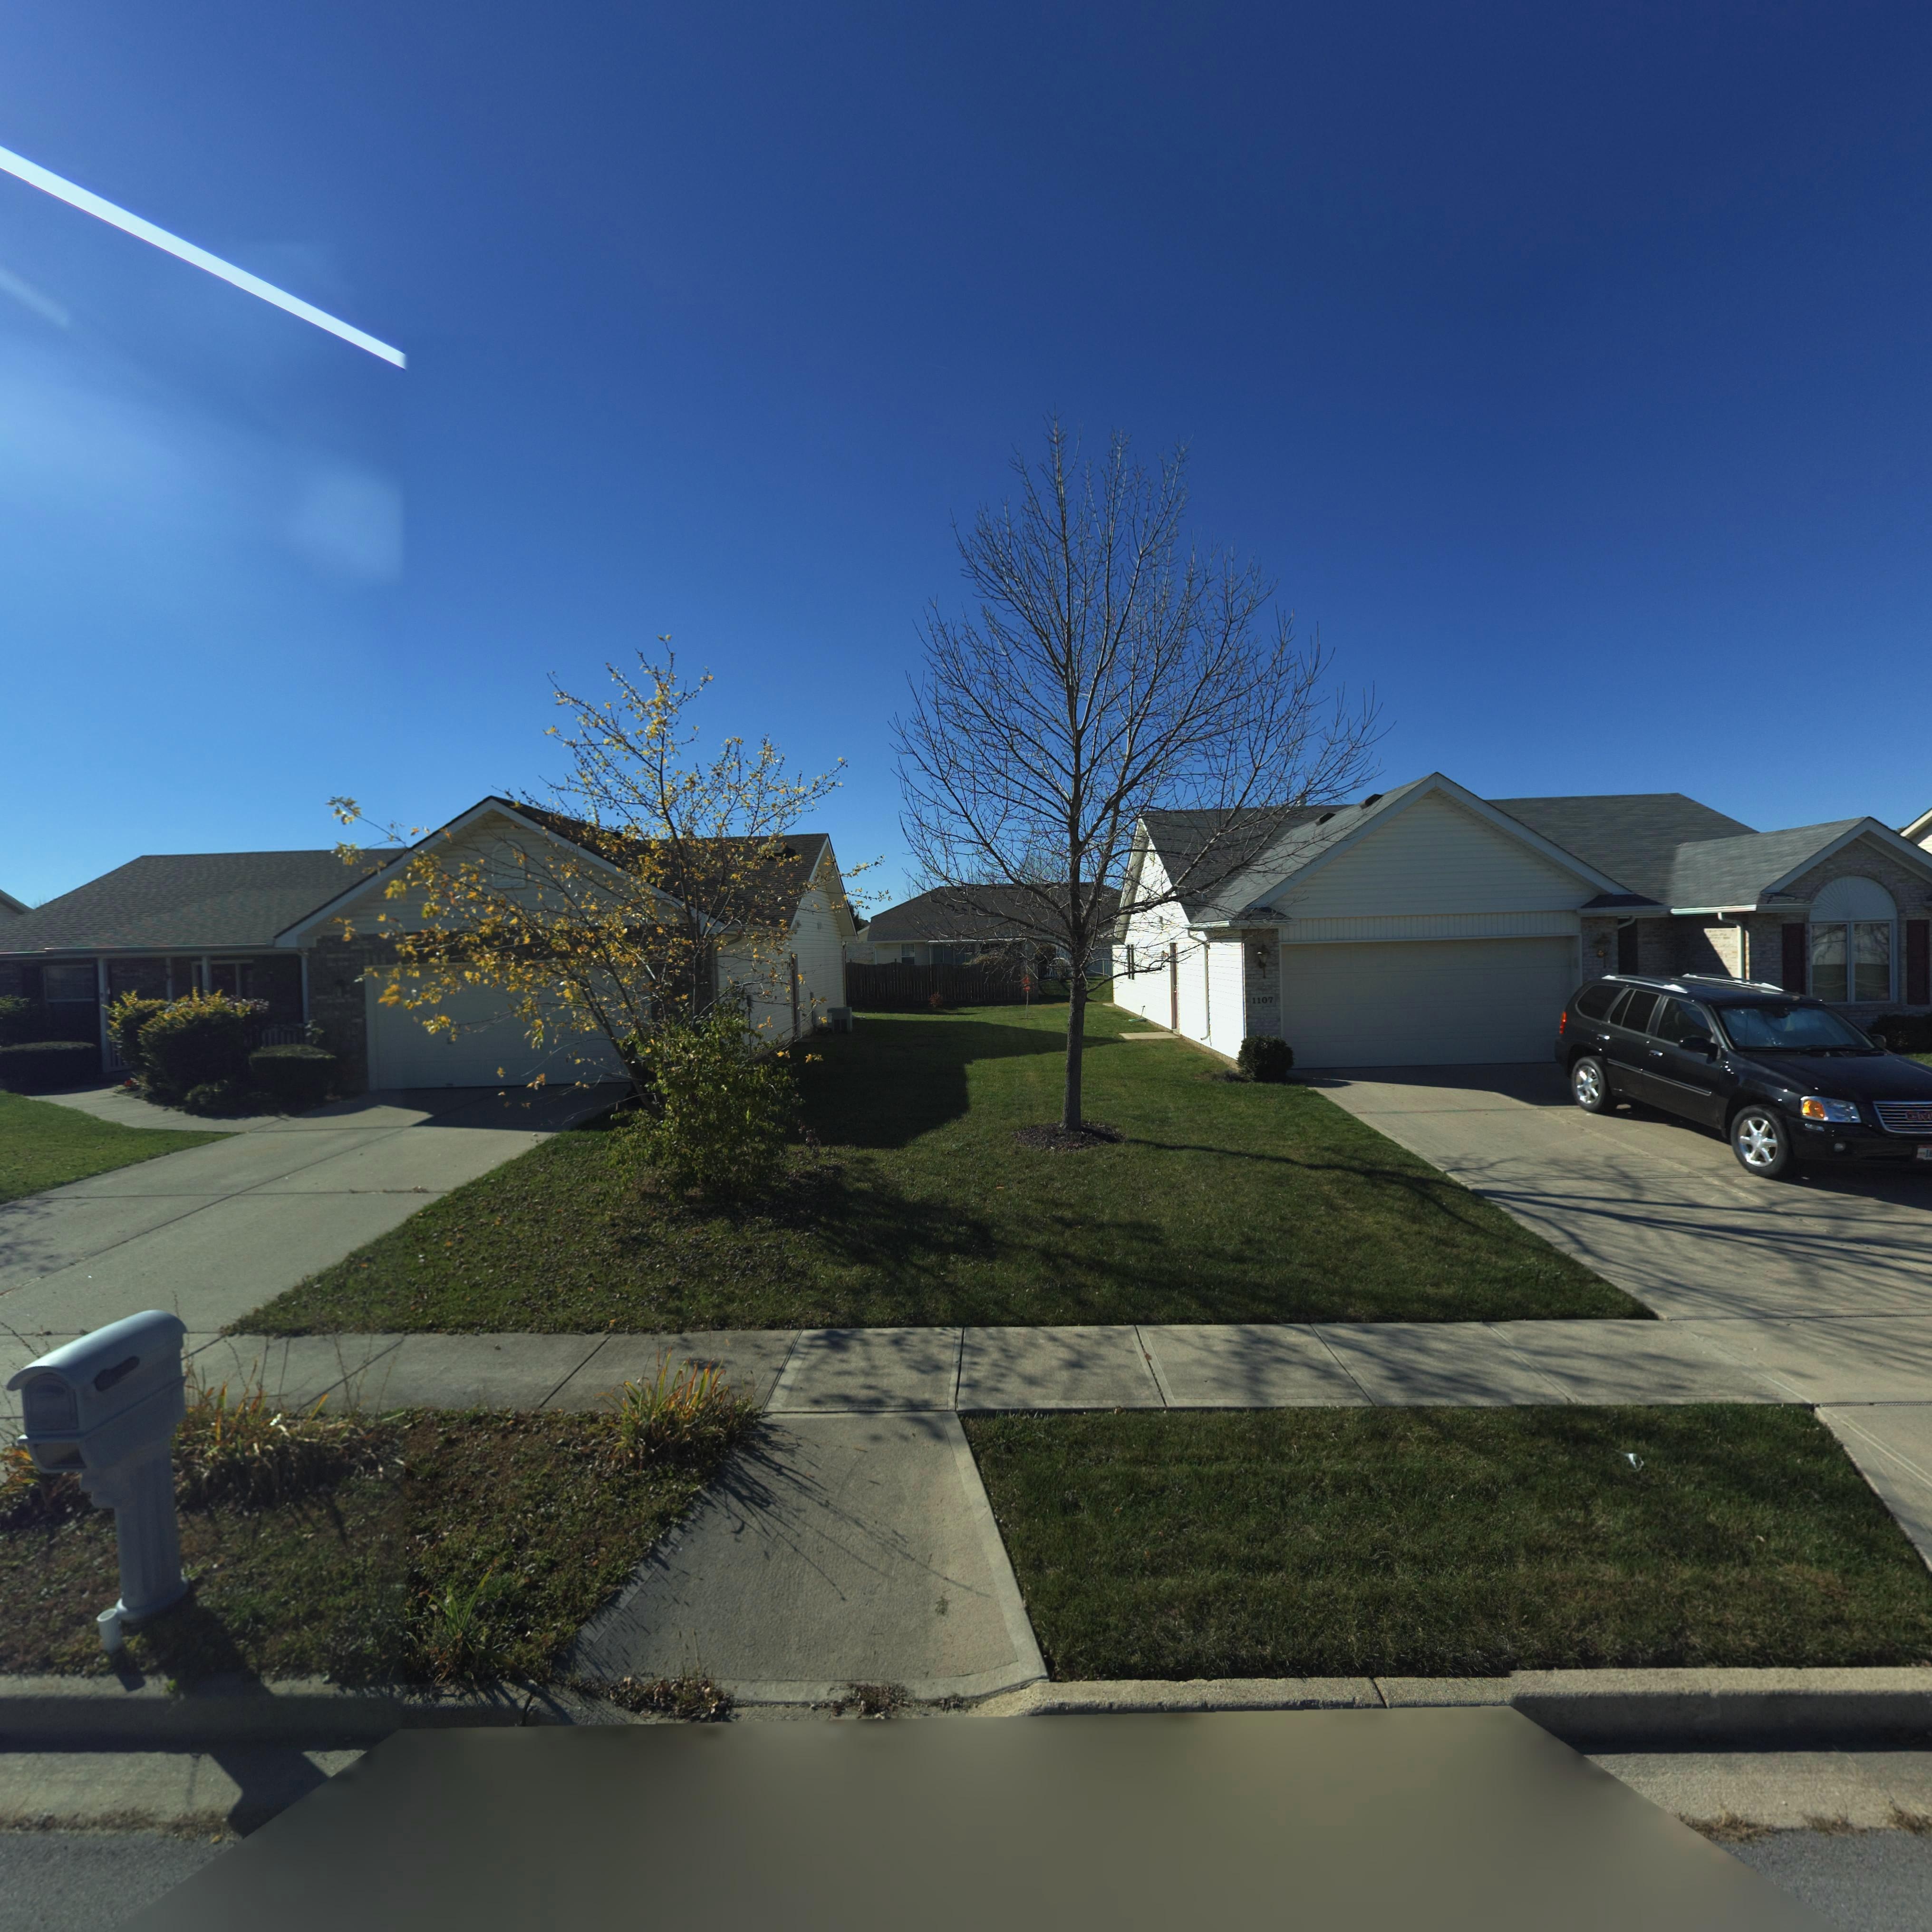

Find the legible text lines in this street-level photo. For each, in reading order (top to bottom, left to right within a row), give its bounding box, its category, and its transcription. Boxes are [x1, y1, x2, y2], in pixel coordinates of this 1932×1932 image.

[1251, 995, 1275, 1005] StreetNumber: 1107